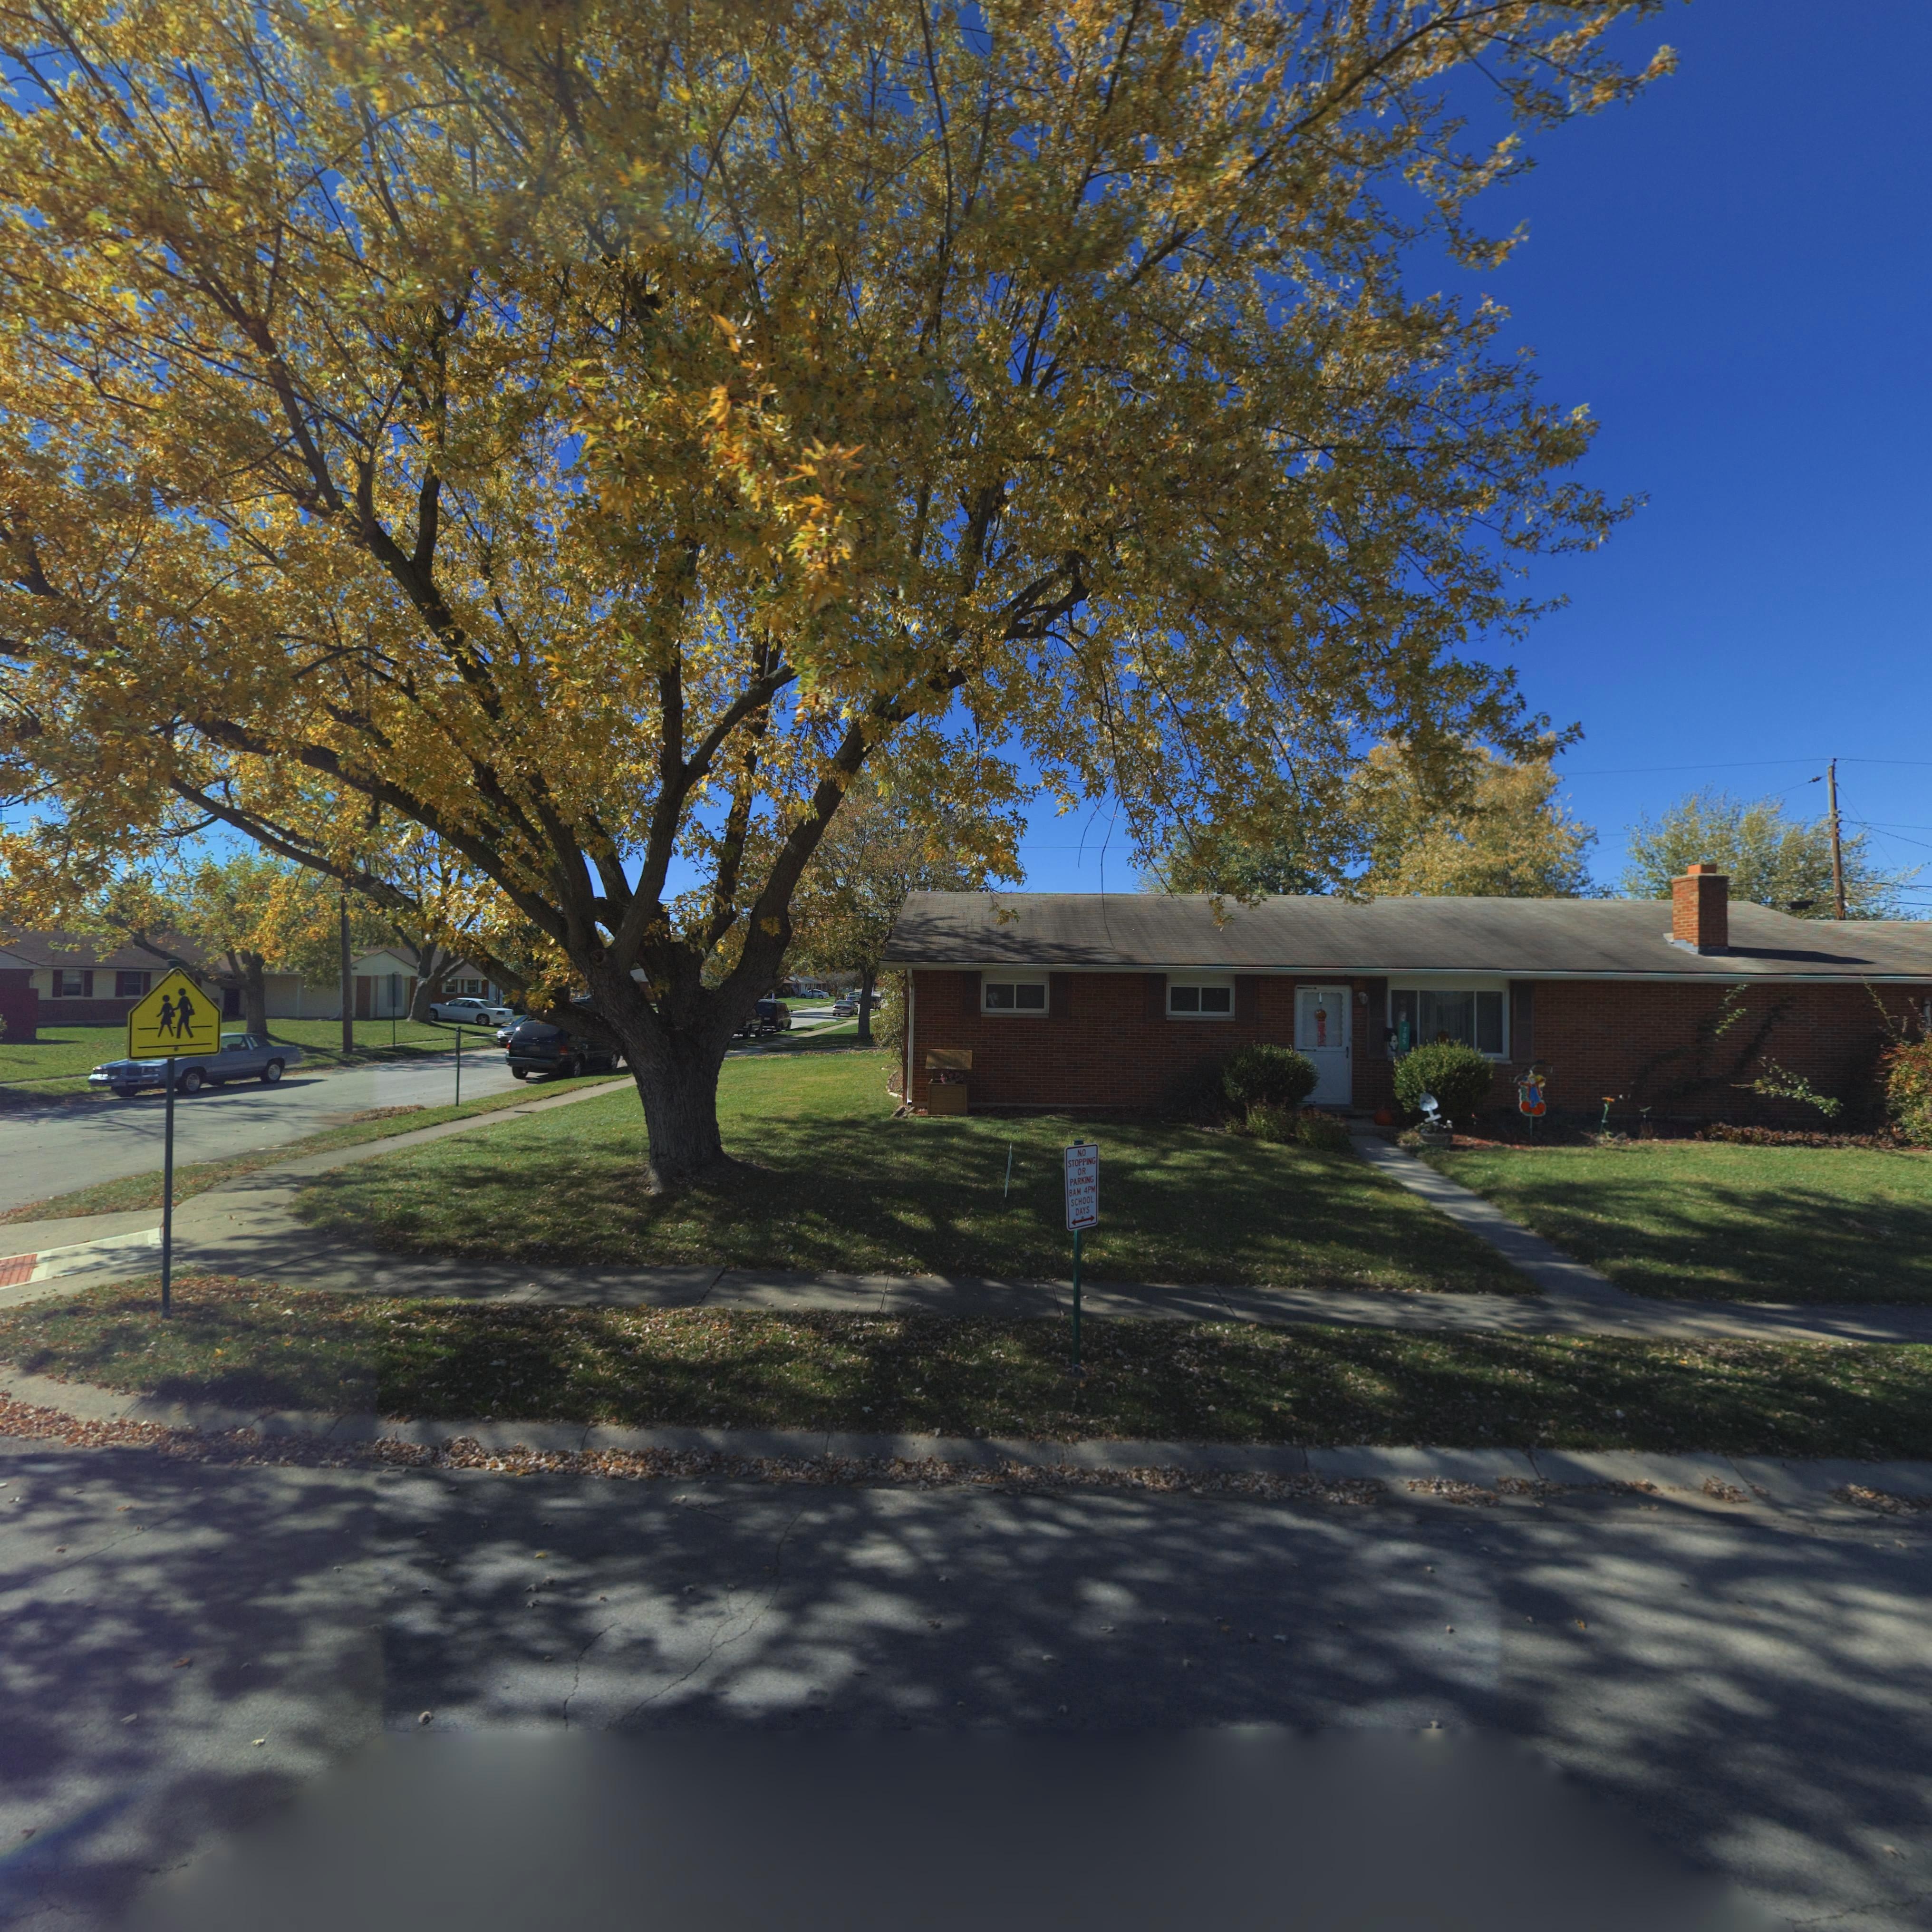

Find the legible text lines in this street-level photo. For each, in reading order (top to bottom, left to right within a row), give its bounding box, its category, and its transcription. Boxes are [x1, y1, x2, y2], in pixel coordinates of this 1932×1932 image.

[1401, 1026, 1409, 1046] StreetNumber: 705
[1077, 1148, 1086, 1158] None: NO
[1067, 1156, 1096, 1169] None: STOPPING
[1077, 1167, 1087, 1176] None: OR
[1069, 1174, 1095, 1187] None: PARKING
[1068, 1184, 1096, 1198] None: 8AM 4PM
[1070, 1195, 1095, 1207] None: SCHOOL
[1075, 1205, 1090, 1217] None: DAYS